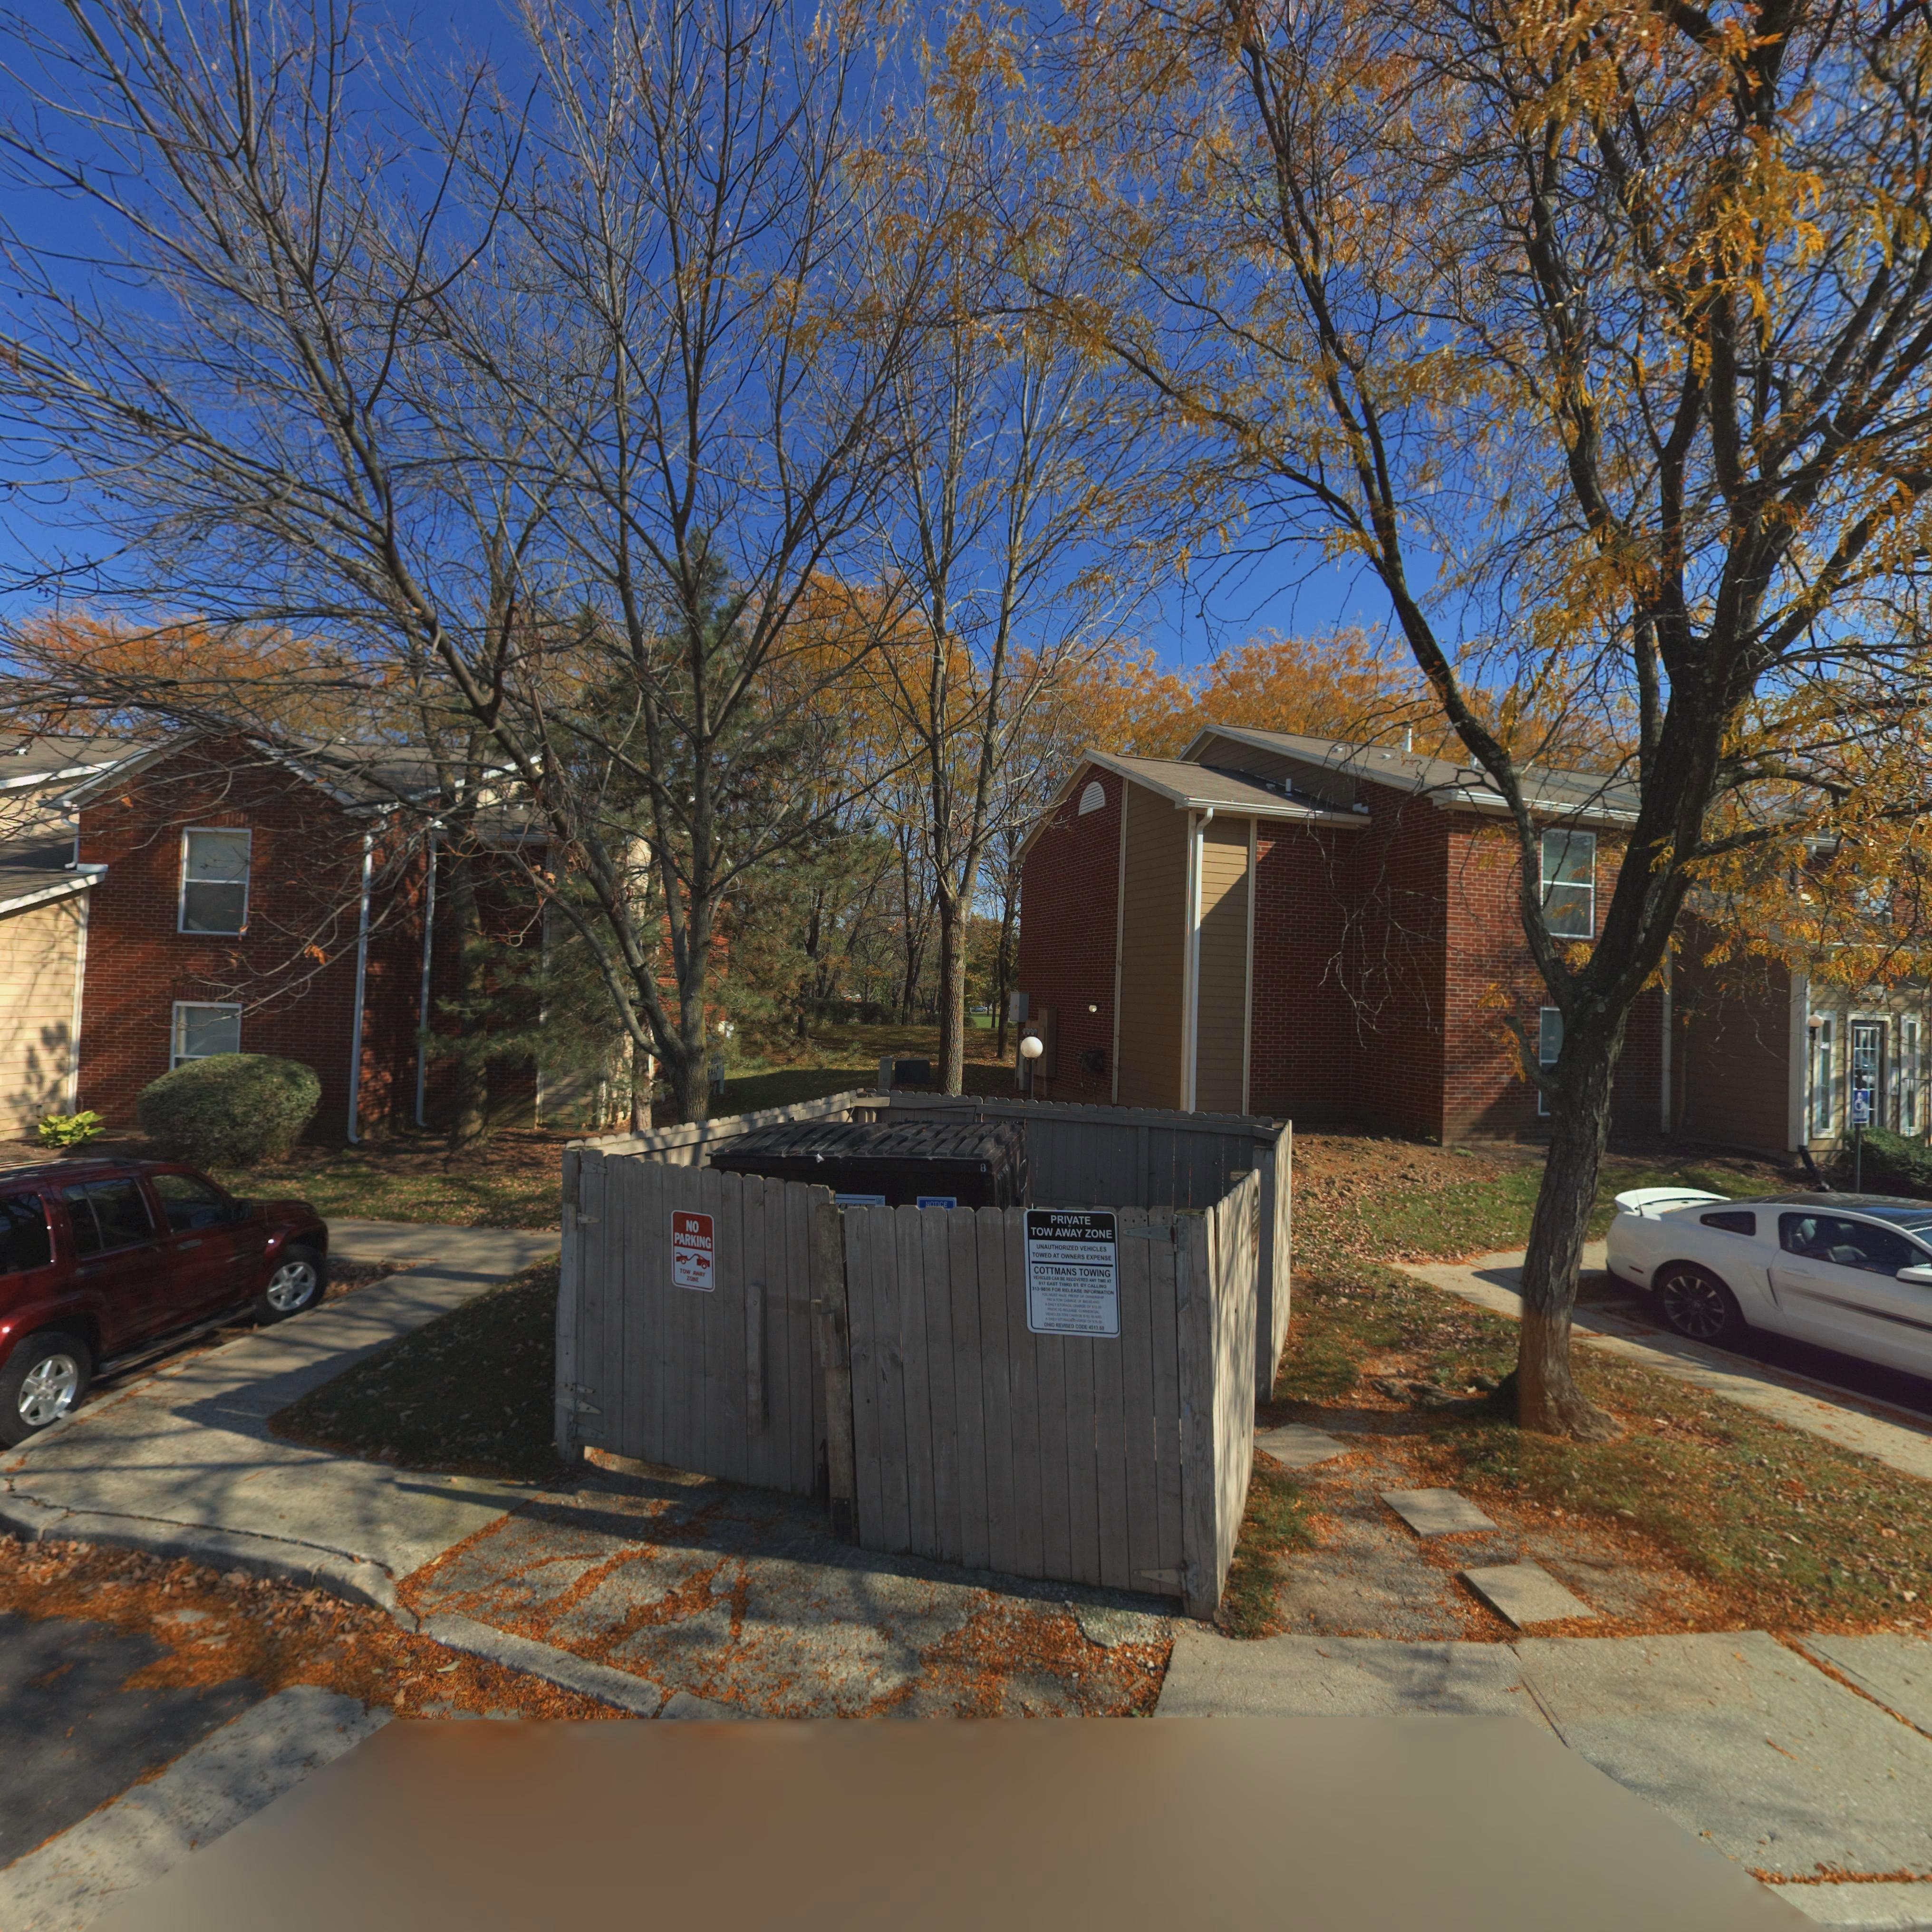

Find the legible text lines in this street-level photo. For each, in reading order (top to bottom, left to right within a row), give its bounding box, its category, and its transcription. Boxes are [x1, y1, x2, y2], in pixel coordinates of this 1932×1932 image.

[685, 1218, 700, 1235] None: NO
[1049, 1213, 1092, 1227] None: PRIVATE
[1029, 1225, 1114, 1240] None: TOW AWAY ZONE
[673, 1230, 713, 1251] None: PARKING
[1035, 1242, 1108, 1253] None: UNAUTHORIZED VEHICLES
[1030, 1250, 1113, 1262] None: TOWED AT OWNERS EXPENSE
[678, 1266, 707, 1278] None: TOW AWAY
[685, 1274, 700, 1284] None: ZONE
[1033, 1264, 1112, 1279] None: COTTMANS TOWING